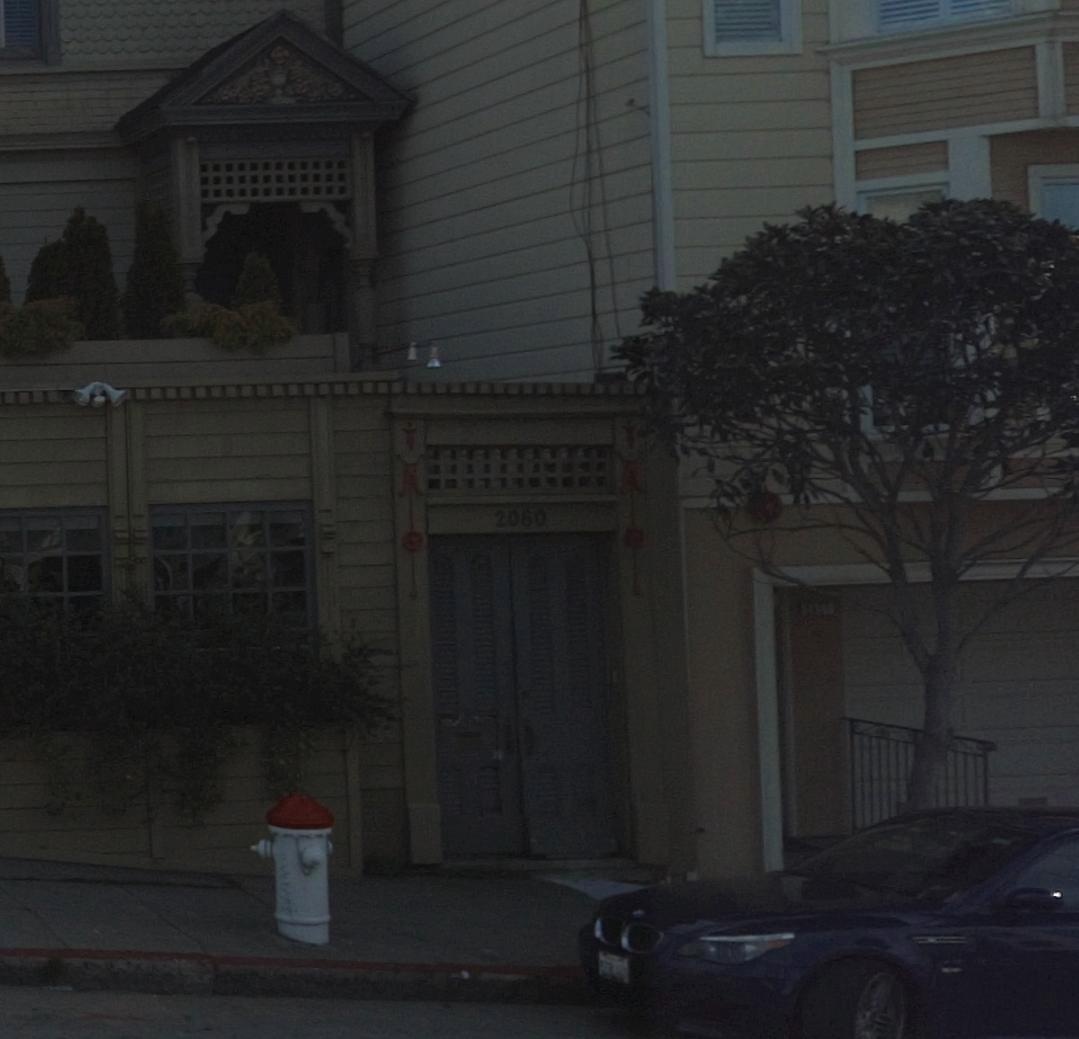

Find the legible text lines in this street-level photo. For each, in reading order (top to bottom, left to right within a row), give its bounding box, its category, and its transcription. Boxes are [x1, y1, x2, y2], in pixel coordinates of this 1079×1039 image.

[492, 507, 549, 529] StreetNumber: 2060